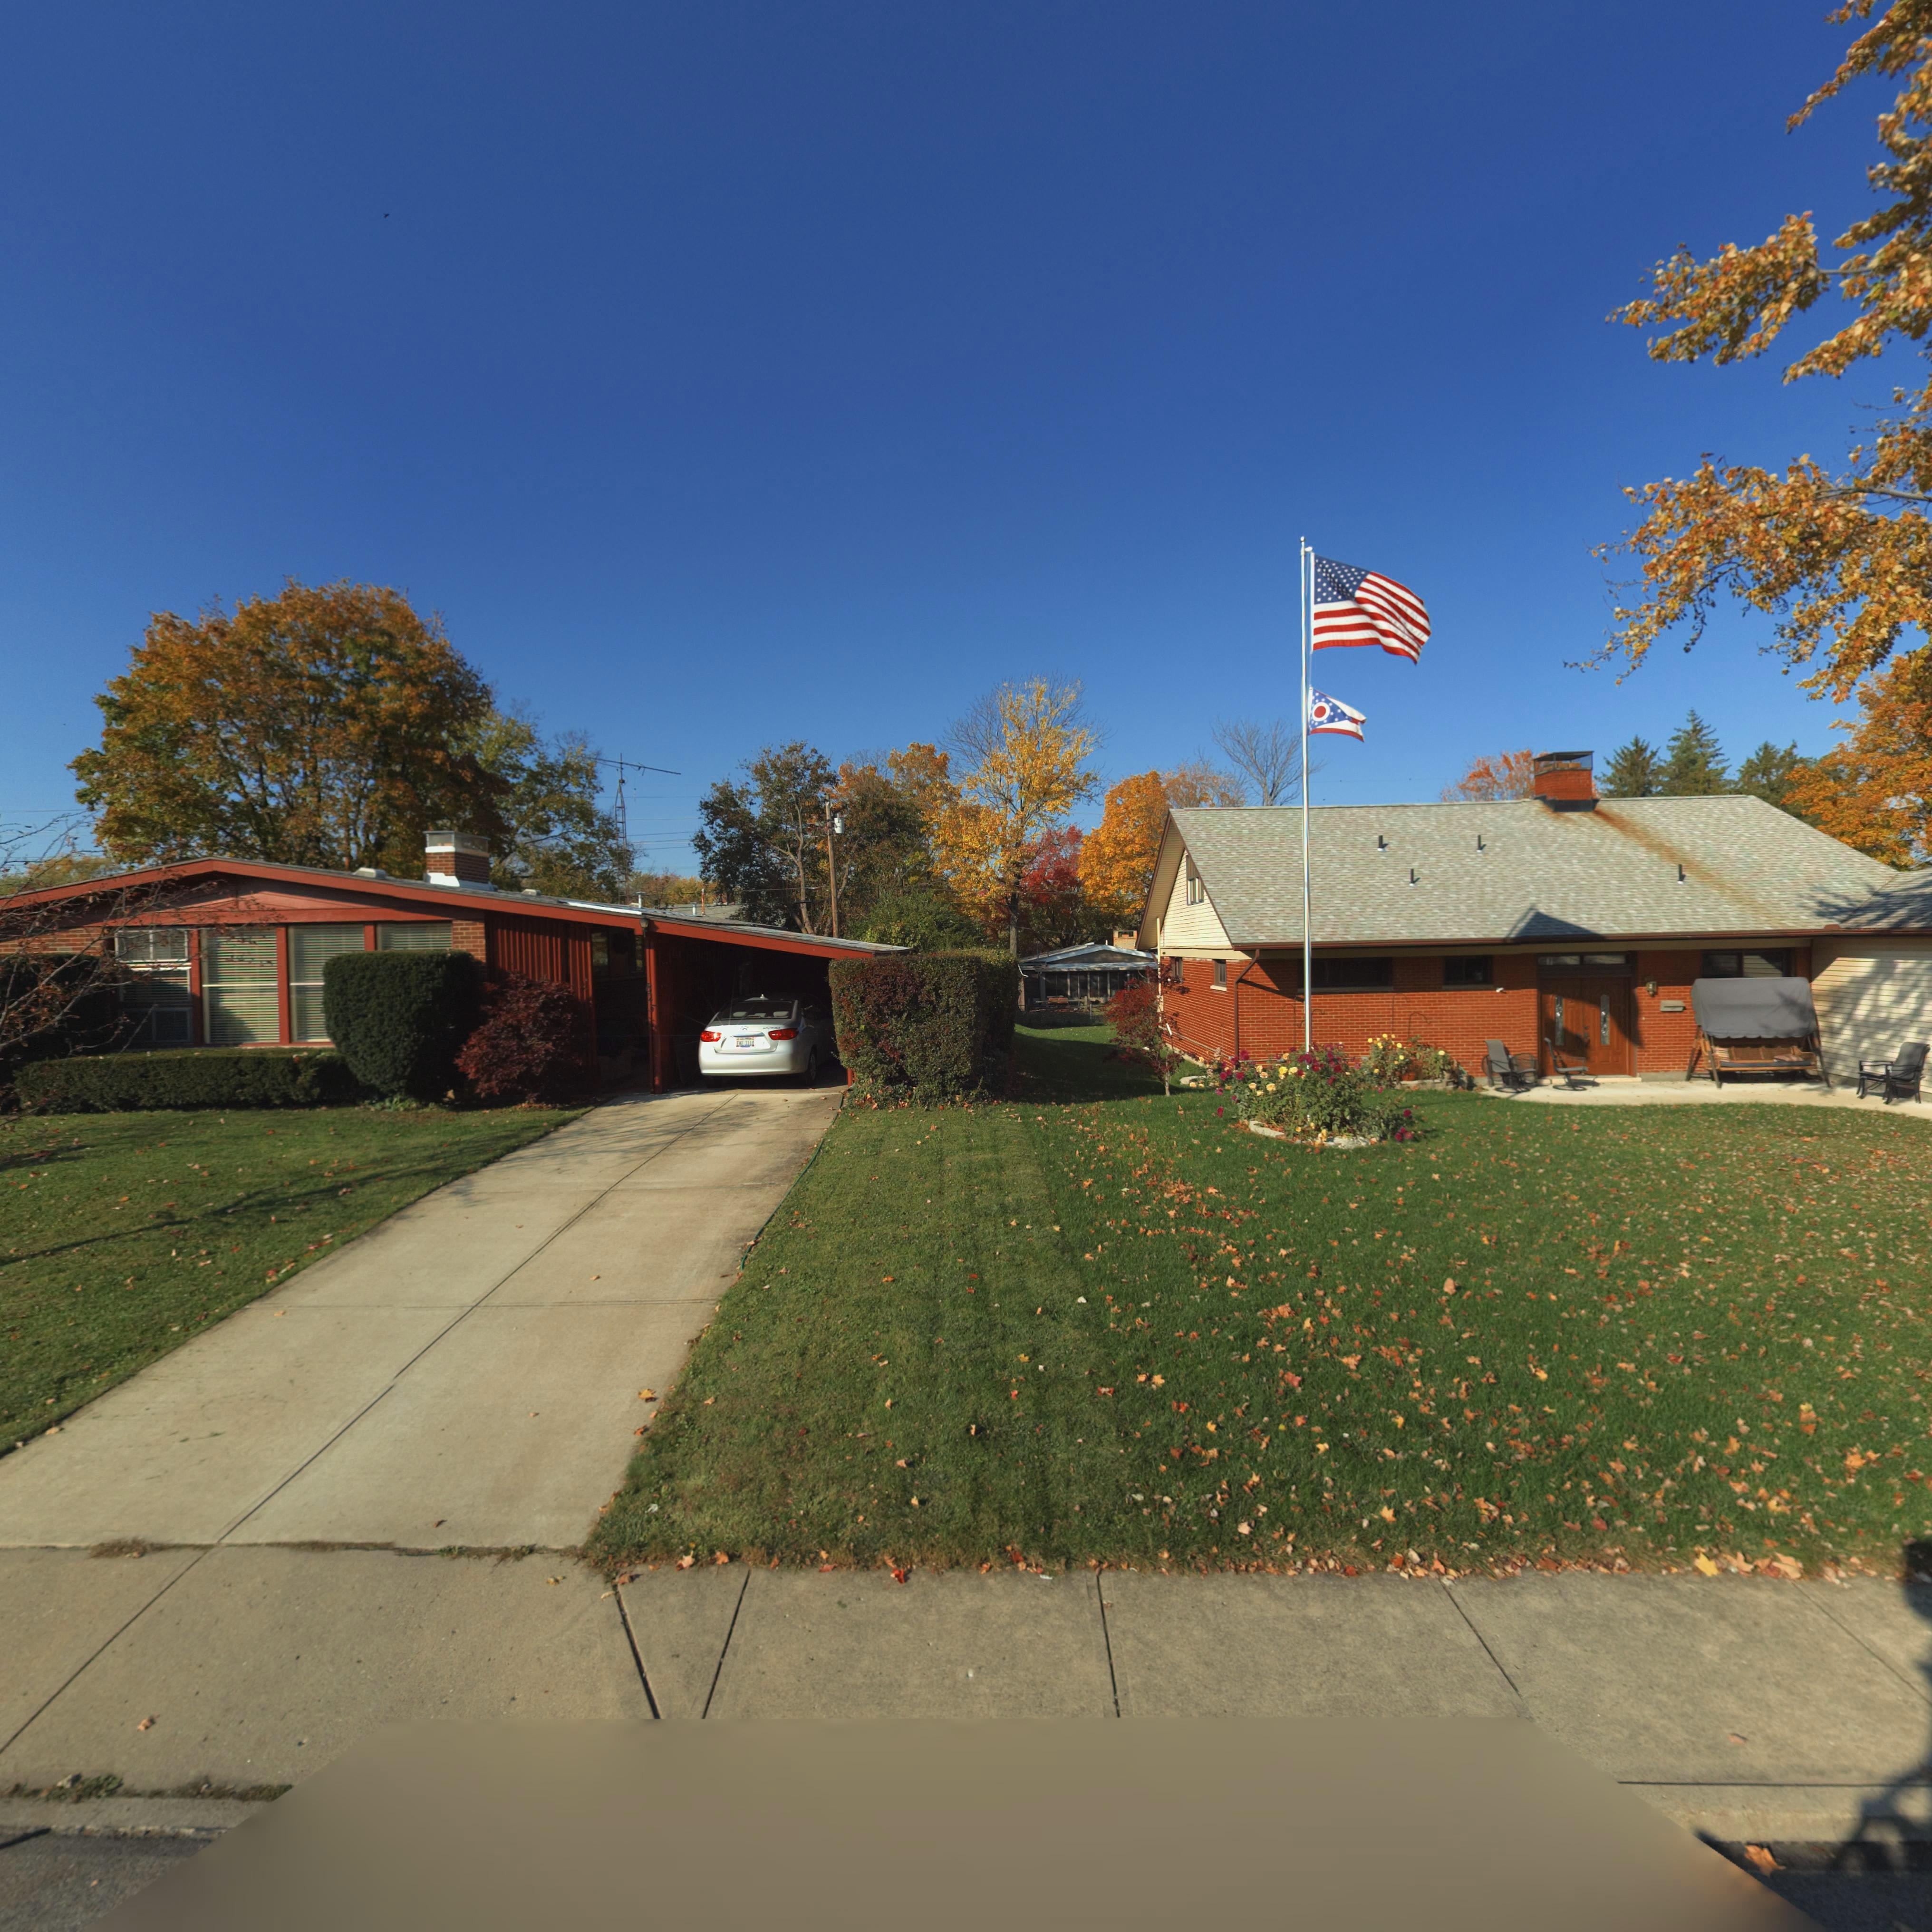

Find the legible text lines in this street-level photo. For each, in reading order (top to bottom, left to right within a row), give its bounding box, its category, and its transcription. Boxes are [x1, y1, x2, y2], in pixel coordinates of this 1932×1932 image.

[644, 981, 658, 1015] StreetNumber: 8*5